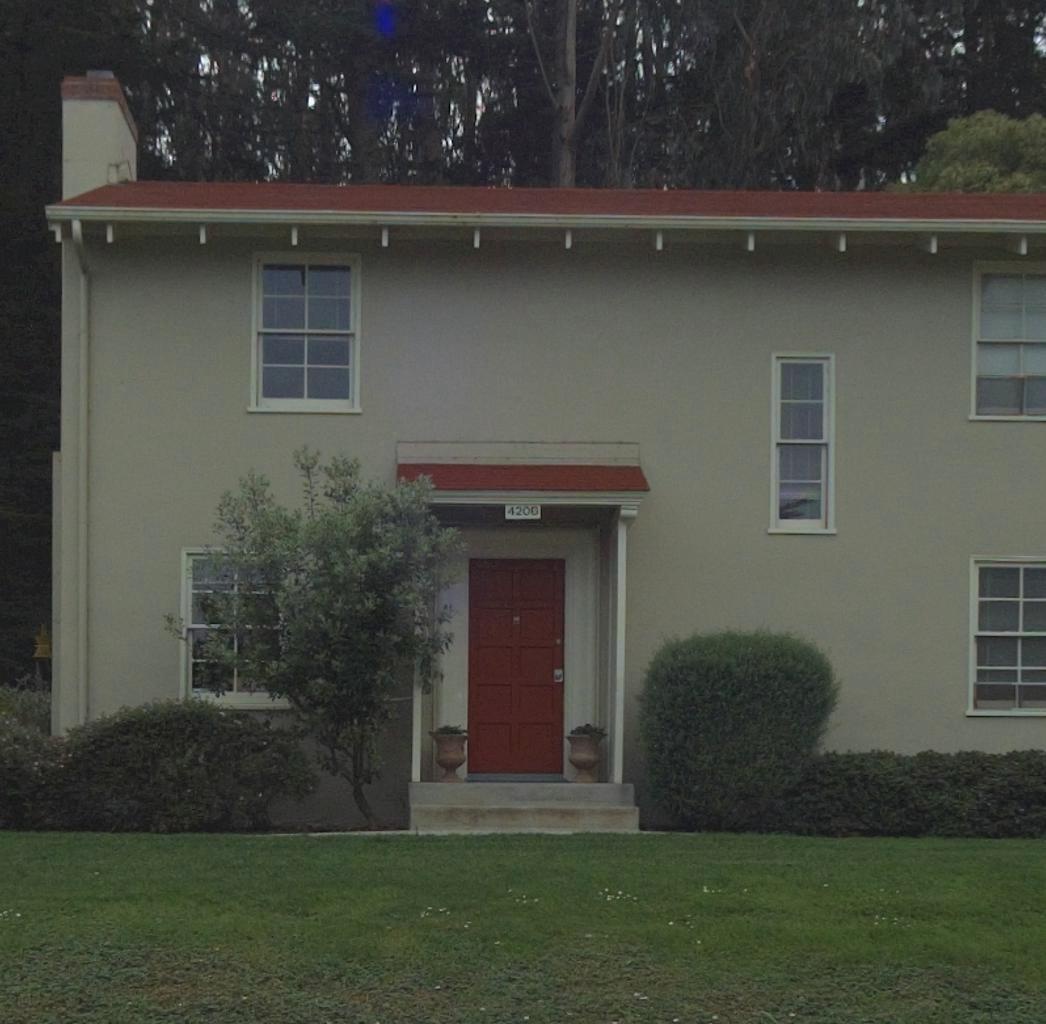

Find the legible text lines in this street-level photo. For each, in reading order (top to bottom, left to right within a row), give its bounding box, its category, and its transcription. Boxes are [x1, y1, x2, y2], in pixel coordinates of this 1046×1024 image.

[507, 505, 540, 517] StreetNumber: 420B